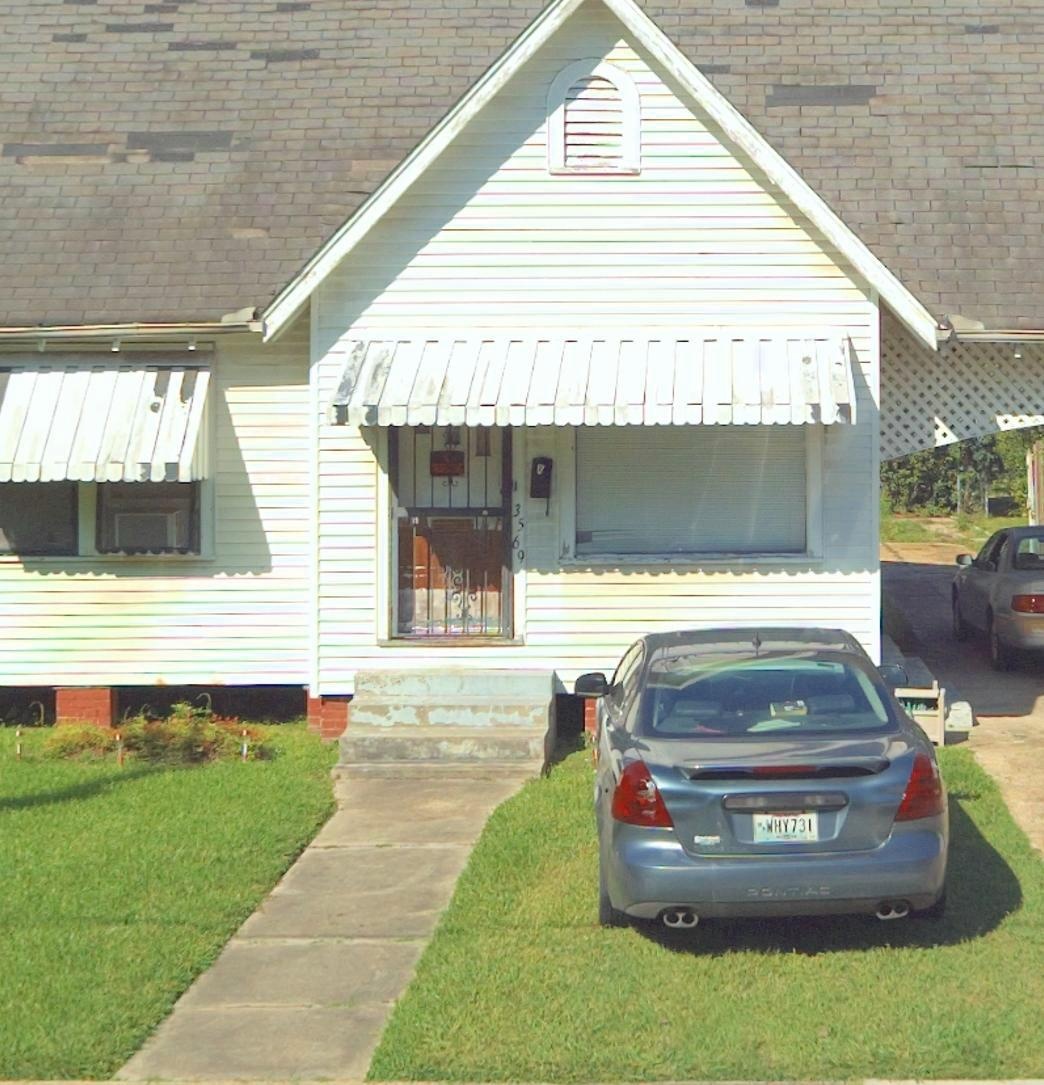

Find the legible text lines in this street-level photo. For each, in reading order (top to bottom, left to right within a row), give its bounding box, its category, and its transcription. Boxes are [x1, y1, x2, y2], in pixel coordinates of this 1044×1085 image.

[510, 502, 525, 566] StreetNumber: 3569
[764, 816, 812, 834] None: WHY731
[746, 885, 831, 899] None: PONTIAC